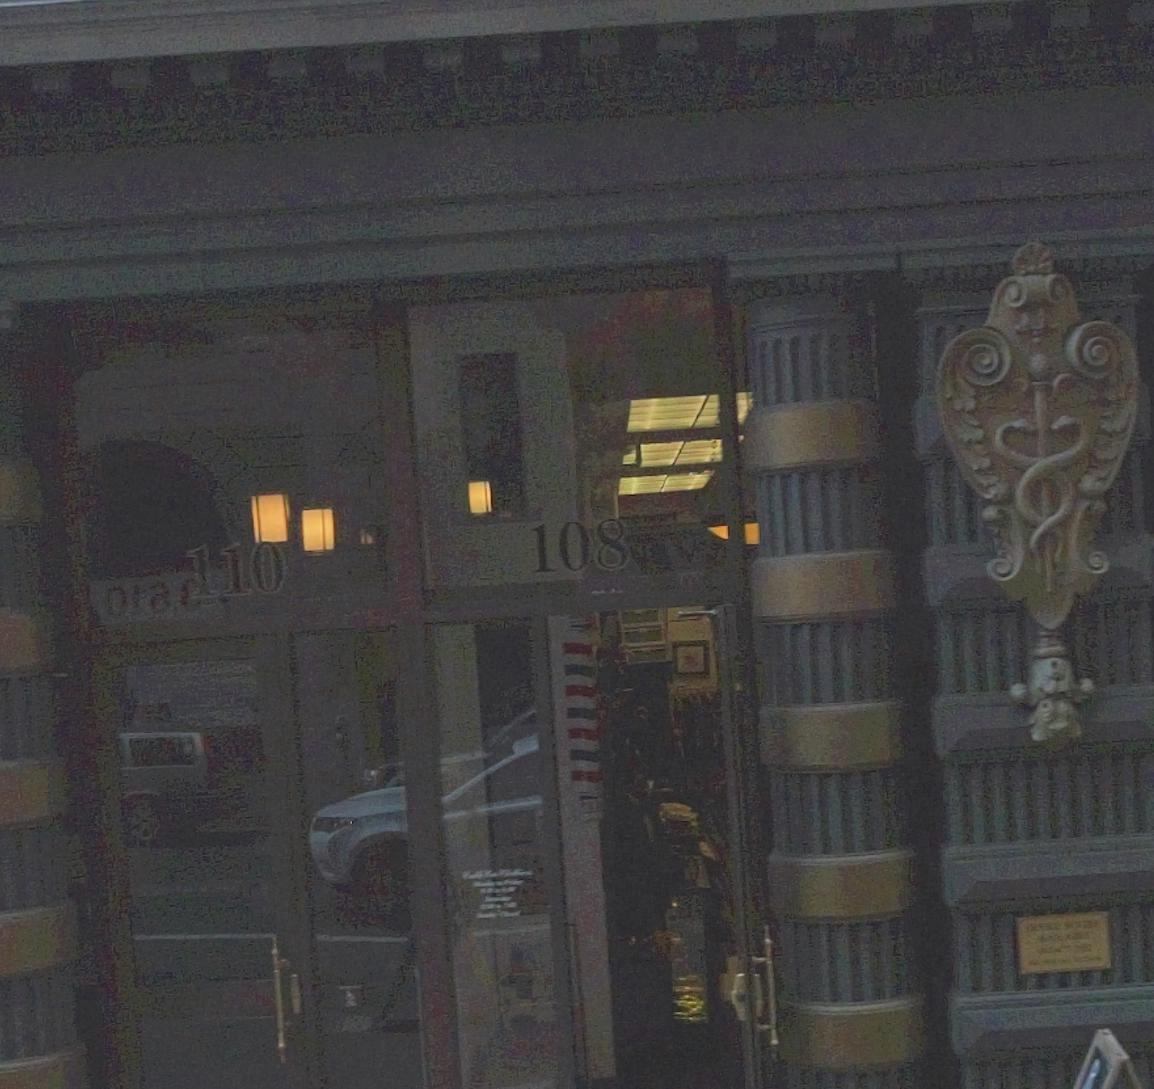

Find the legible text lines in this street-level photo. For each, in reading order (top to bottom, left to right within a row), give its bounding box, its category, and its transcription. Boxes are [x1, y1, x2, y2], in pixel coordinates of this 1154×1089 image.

[100, 576, 176, 624] None: 01*
[175, 534, 295, 604] StreetNumber: 110
[525, 514, 633, 577] StreetNumber: 108